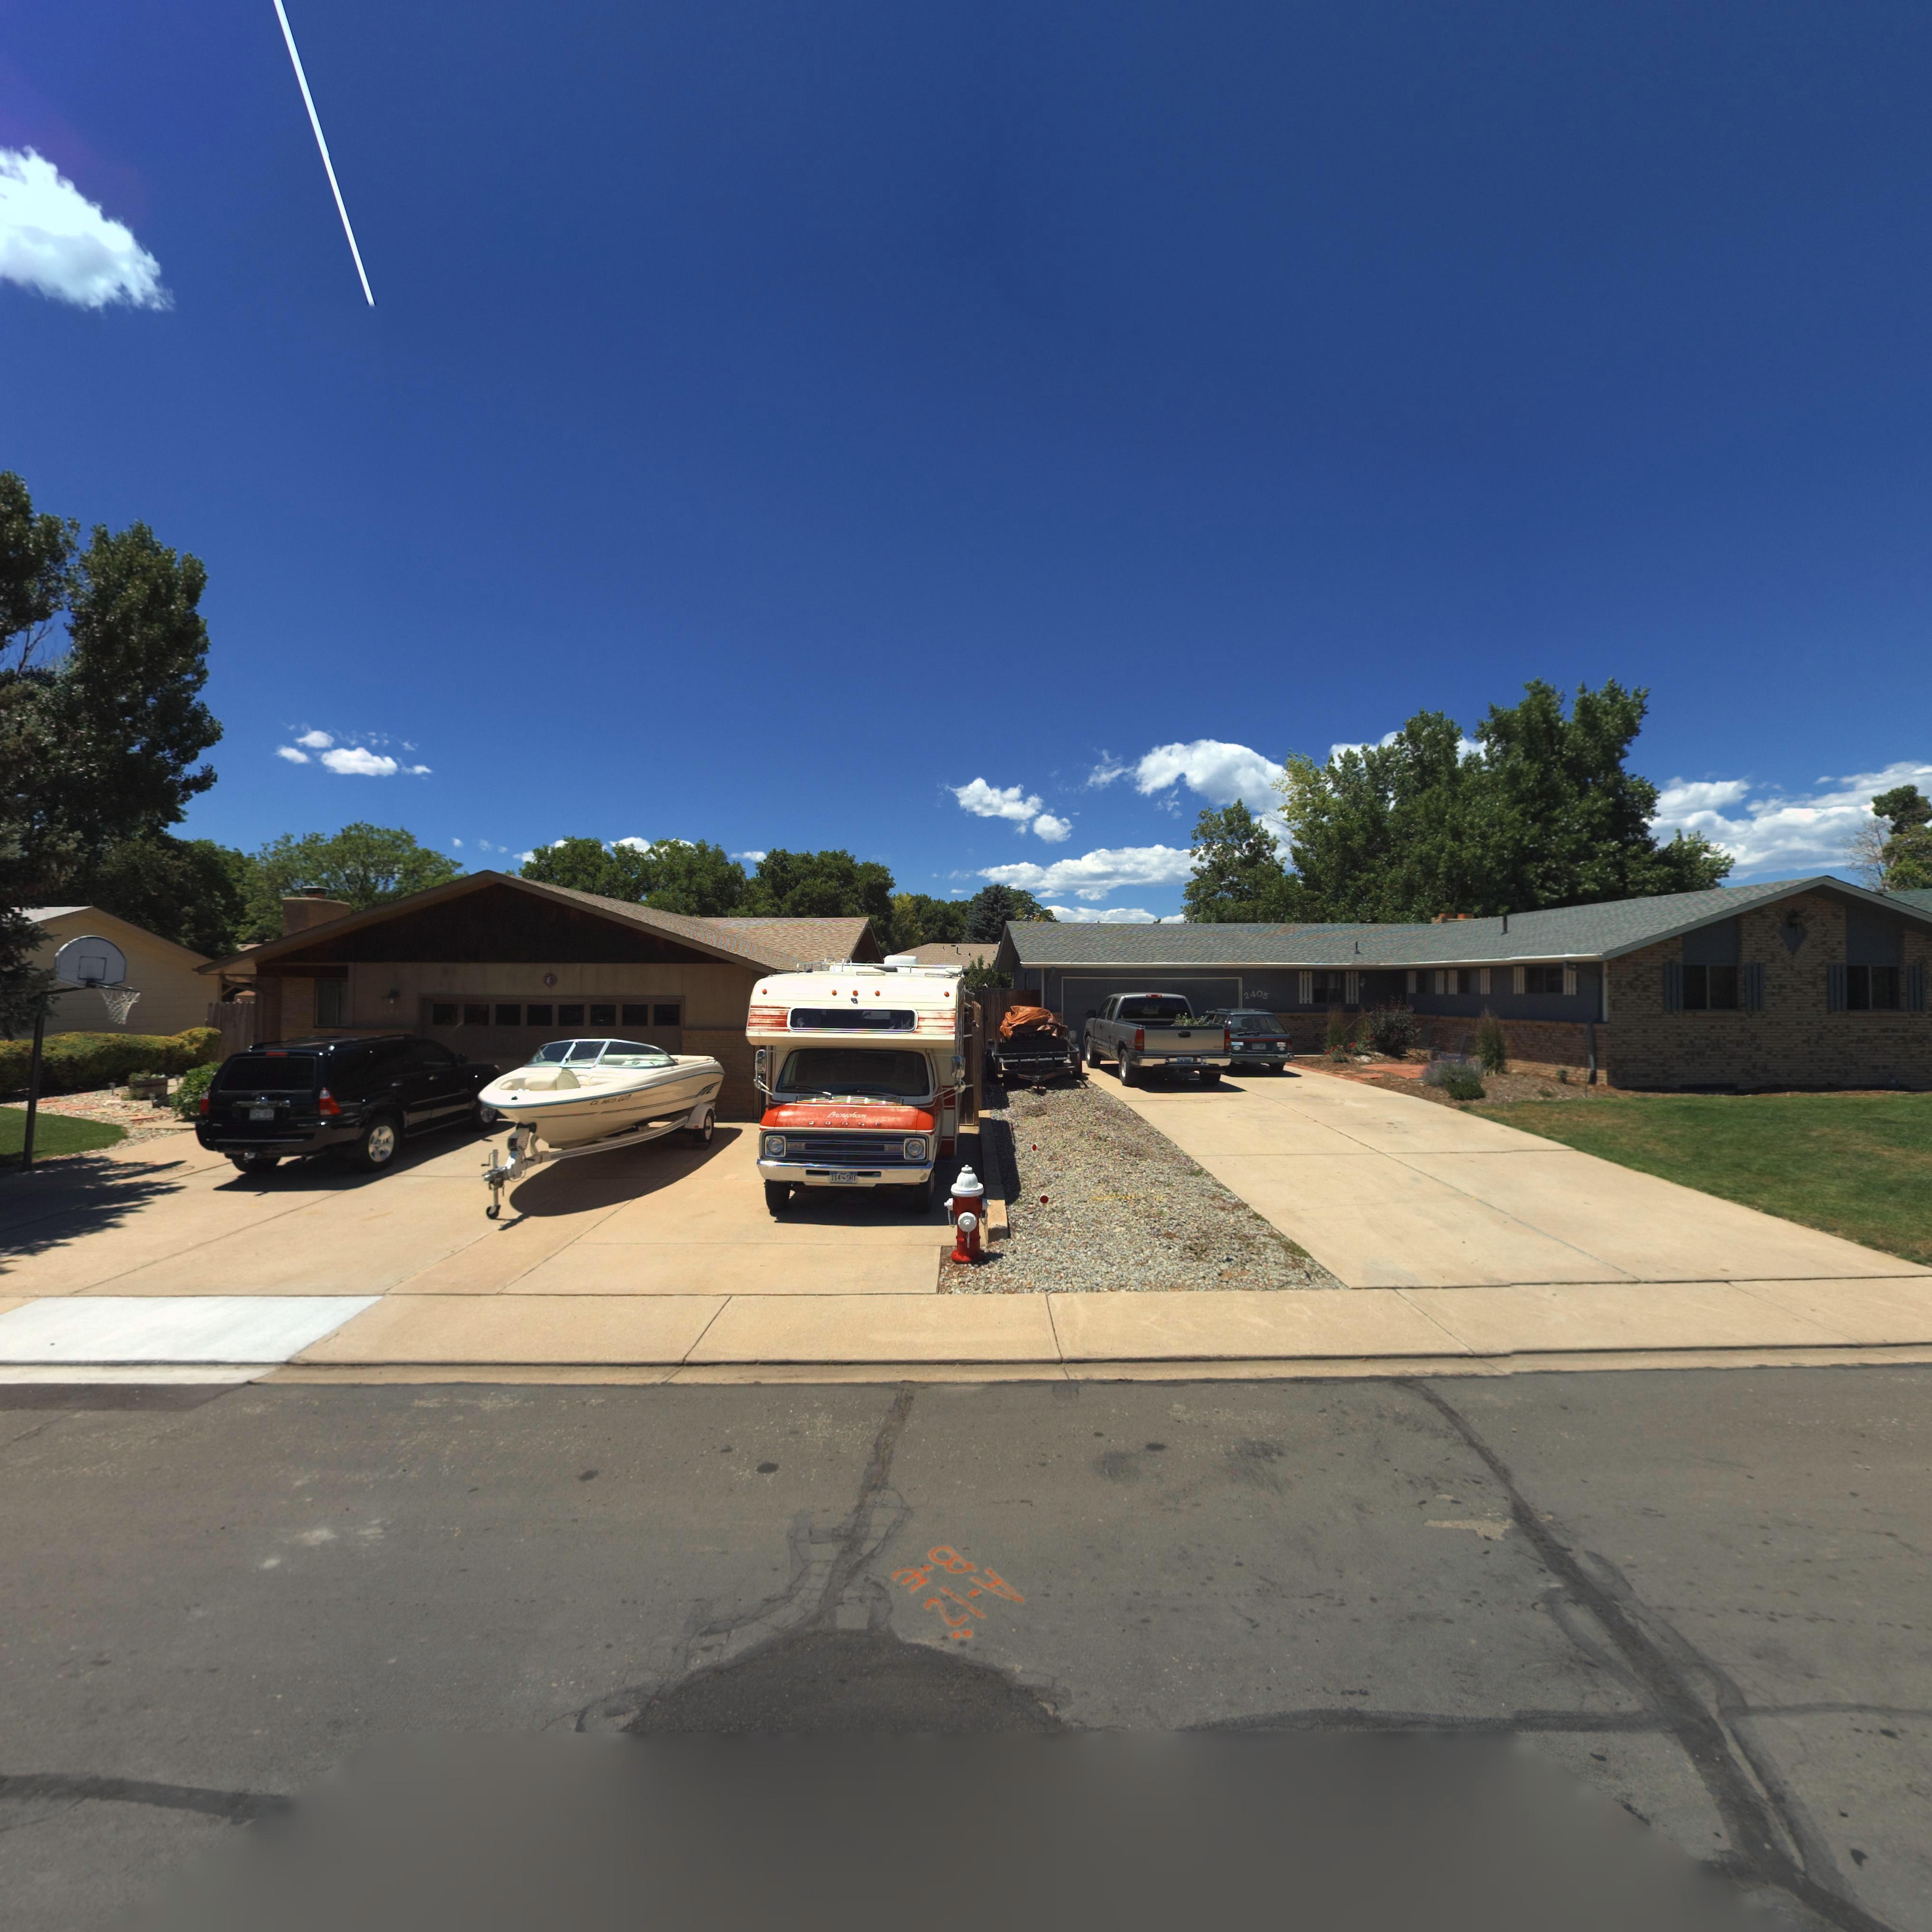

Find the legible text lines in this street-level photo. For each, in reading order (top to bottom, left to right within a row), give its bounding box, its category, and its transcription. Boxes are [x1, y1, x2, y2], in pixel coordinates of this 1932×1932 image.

[1244, 991, 1268, 998] StreetNumber: 2405